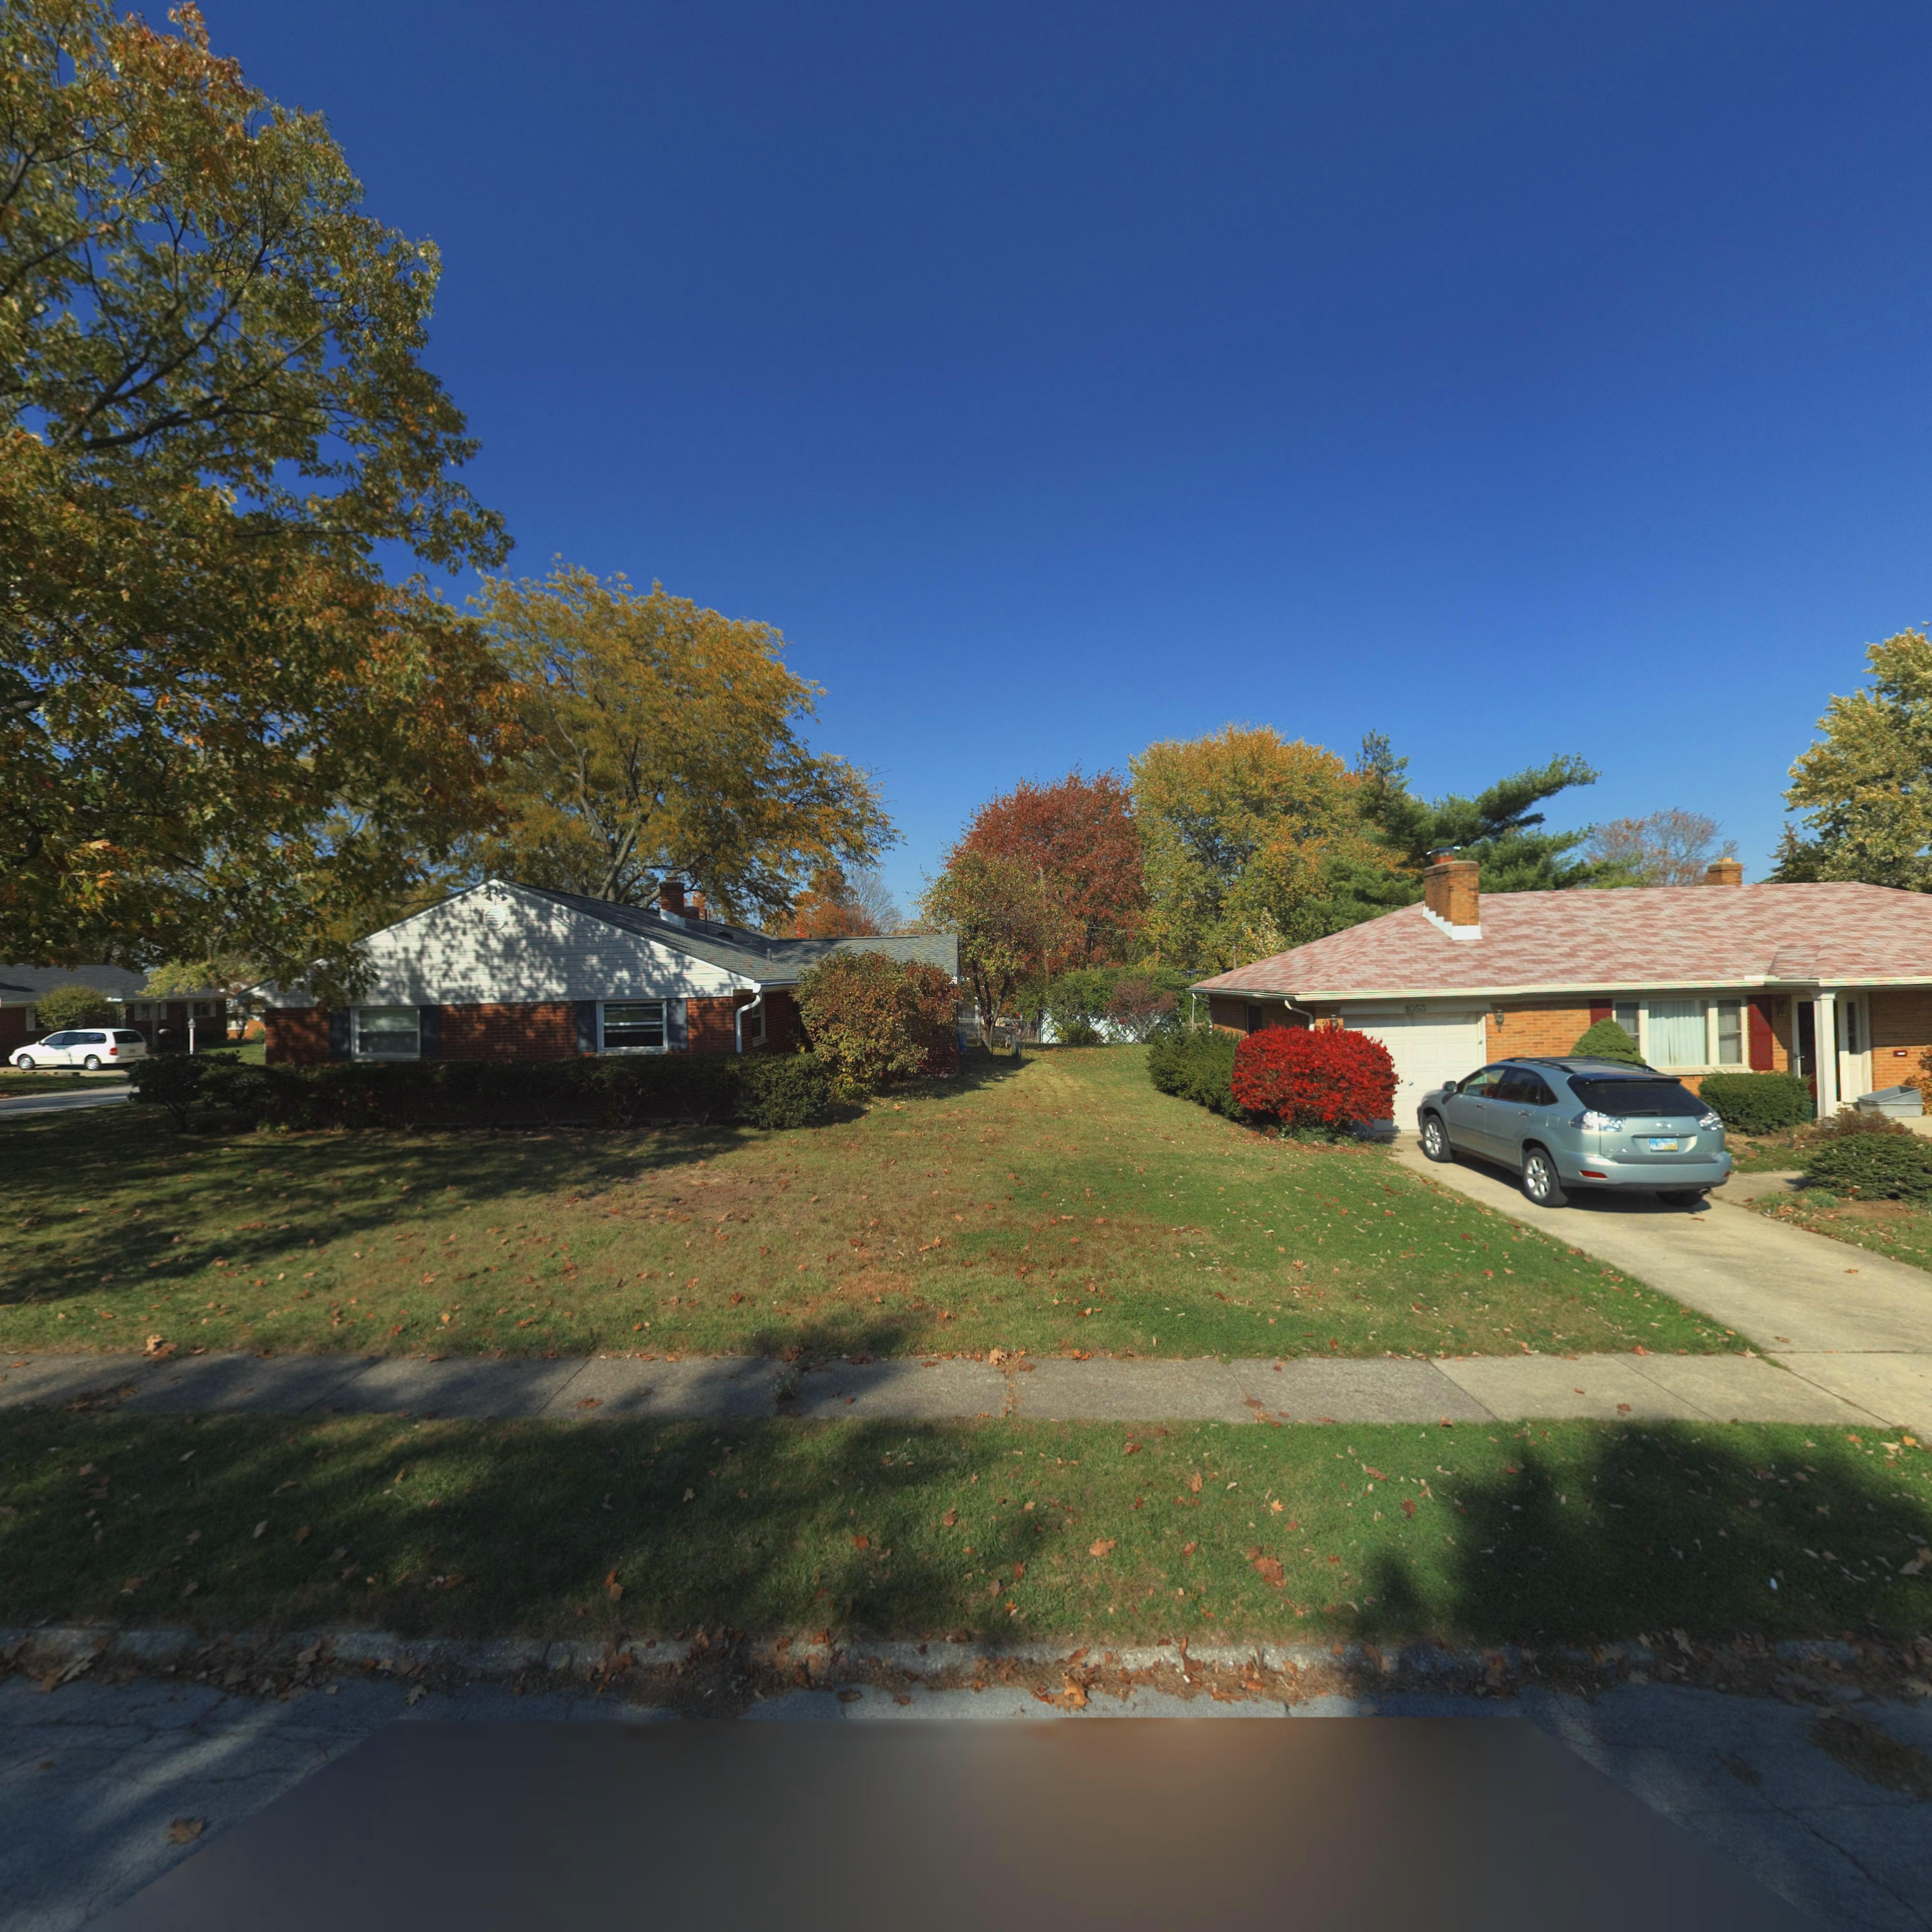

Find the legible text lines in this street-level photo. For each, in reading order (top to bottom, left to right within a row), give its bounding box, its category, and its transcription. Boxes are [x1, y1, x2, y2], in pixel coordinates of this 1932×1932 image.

[1405, 1004, 1426, 1013] StreetNumber: 1053